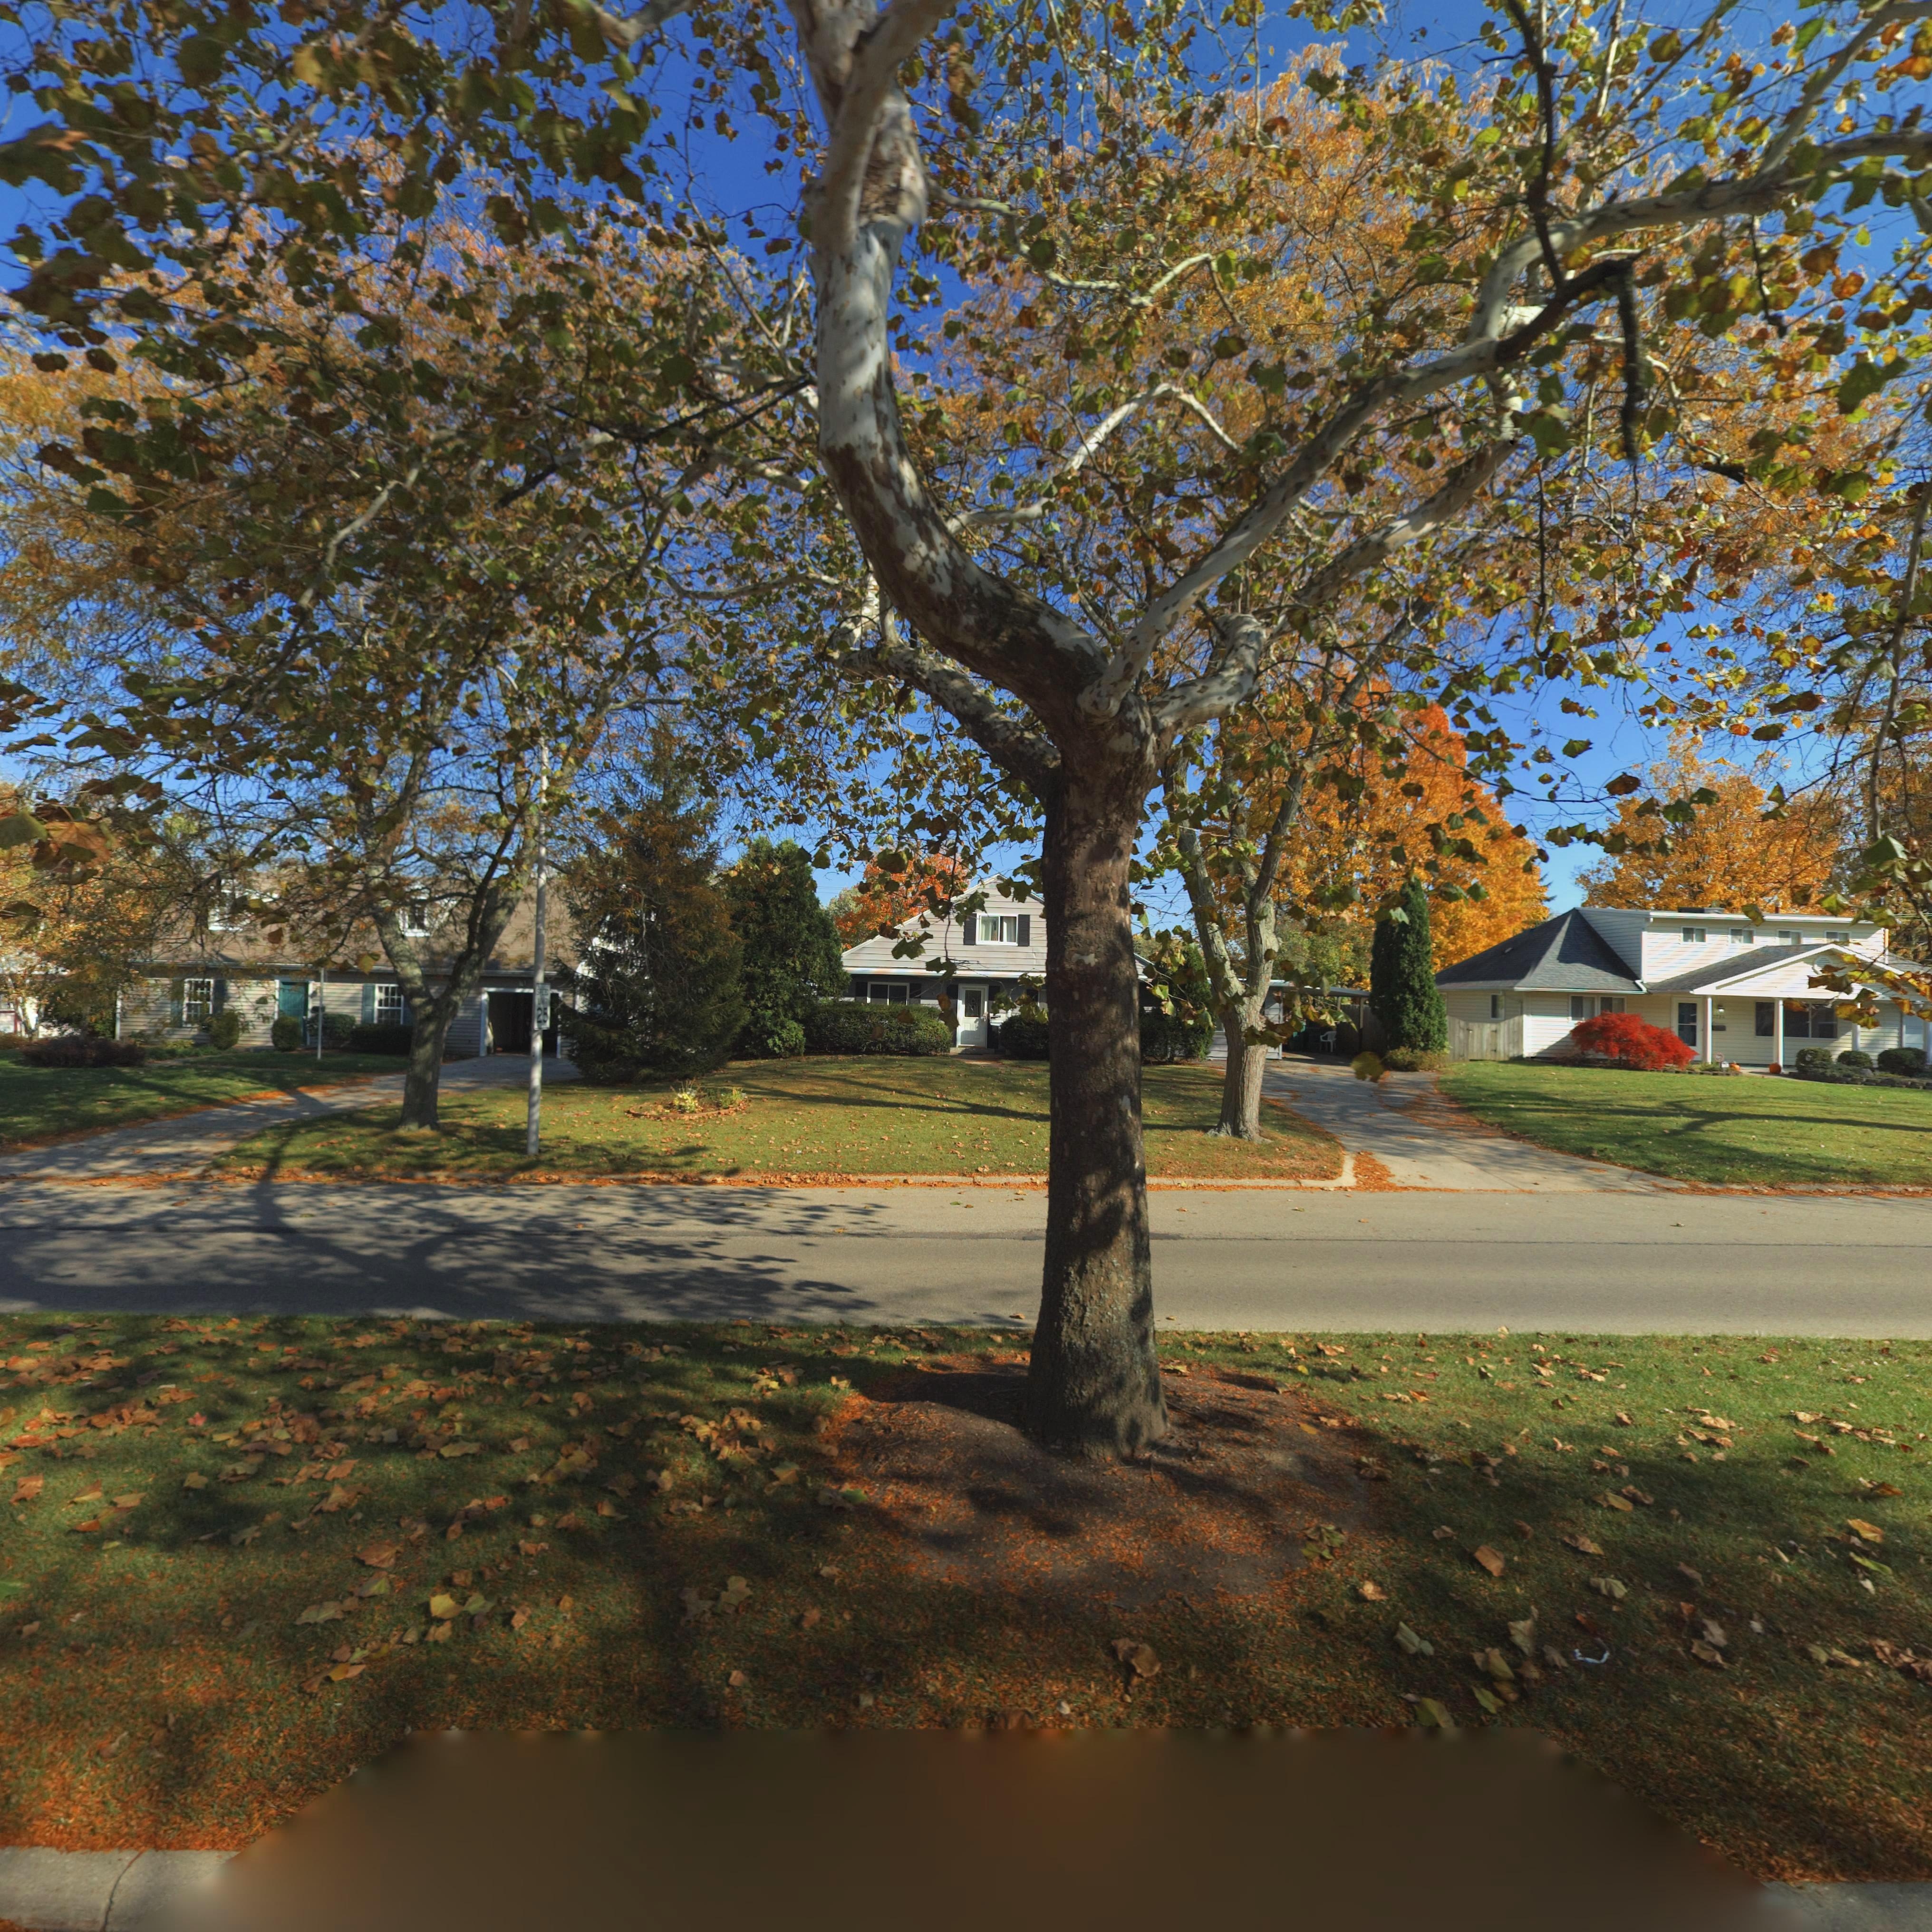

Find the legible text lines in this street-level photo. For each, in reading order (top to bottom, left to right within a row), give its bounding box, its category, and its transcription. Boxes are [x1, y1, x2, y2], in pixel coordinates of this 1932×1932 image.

[536, 1007, 548, 1024] None: 25
[1712, 1014, 1725, 1019] StreetNumber: *7**